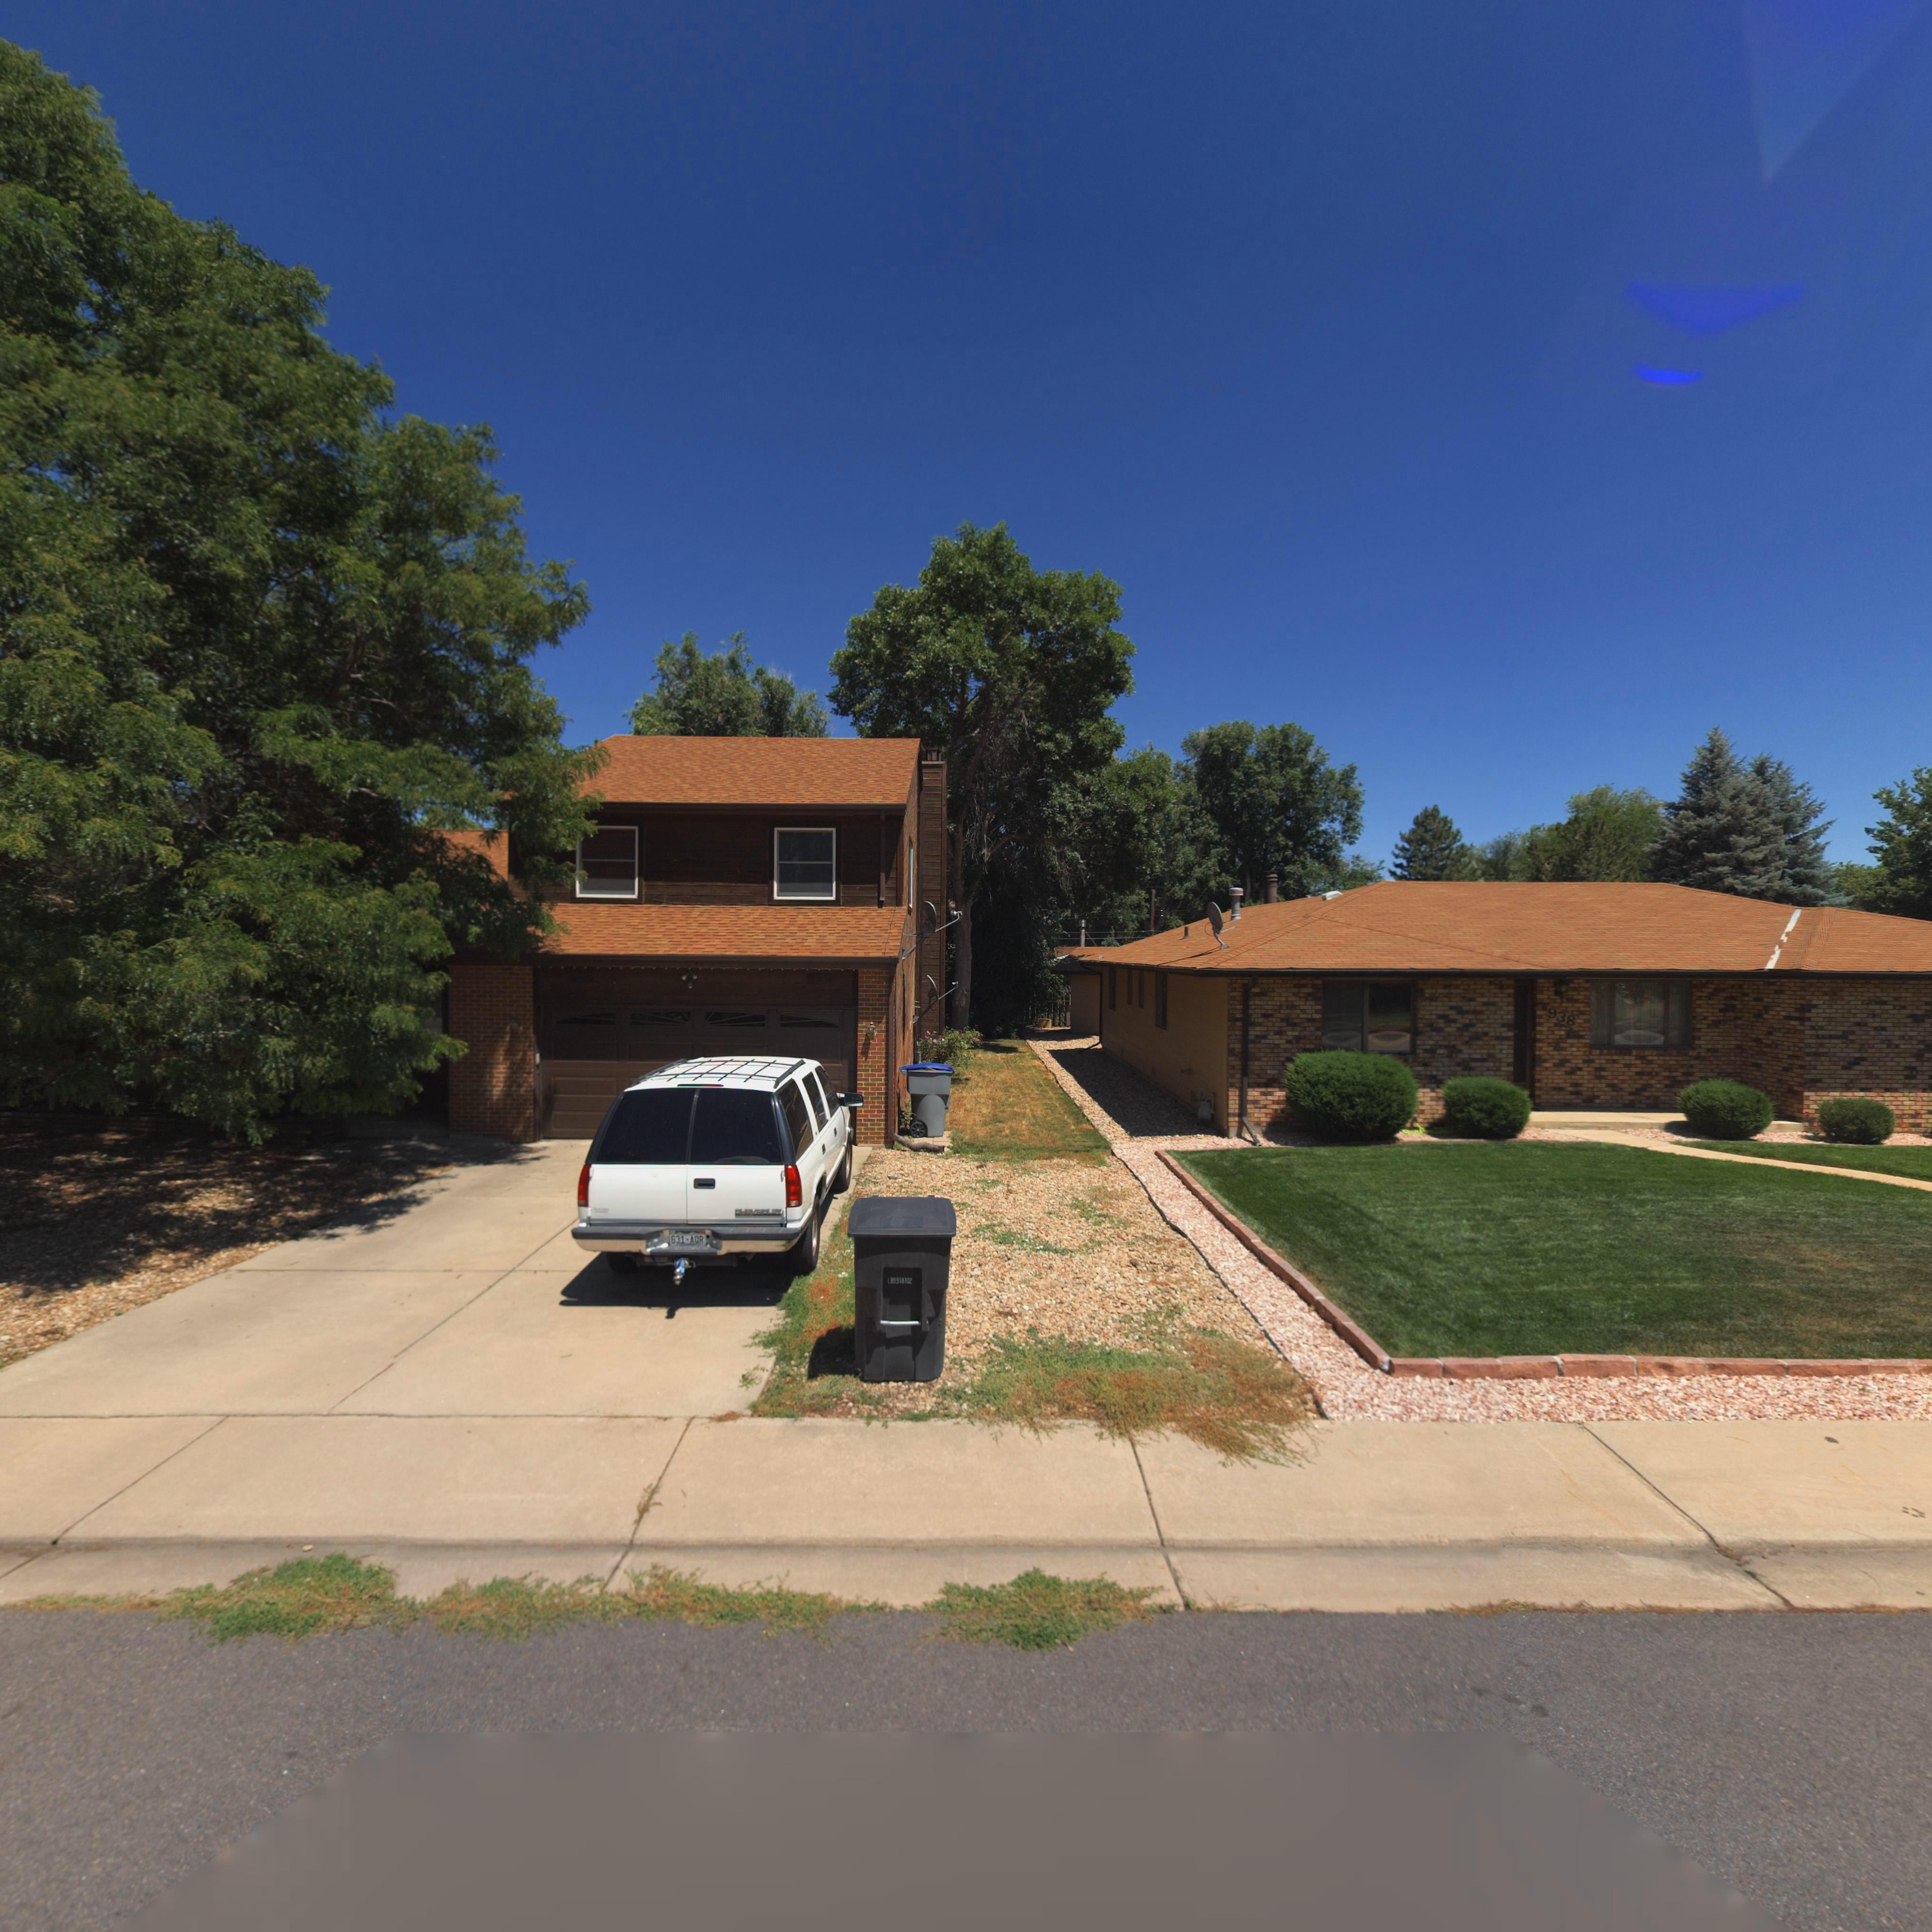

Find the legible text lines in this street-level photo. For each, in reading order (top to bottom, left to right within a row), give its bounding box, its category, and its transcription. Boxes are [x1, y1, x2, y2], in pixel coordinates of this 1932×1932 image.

[1547, 1006, 1576, 1026] StreetNumber: 938